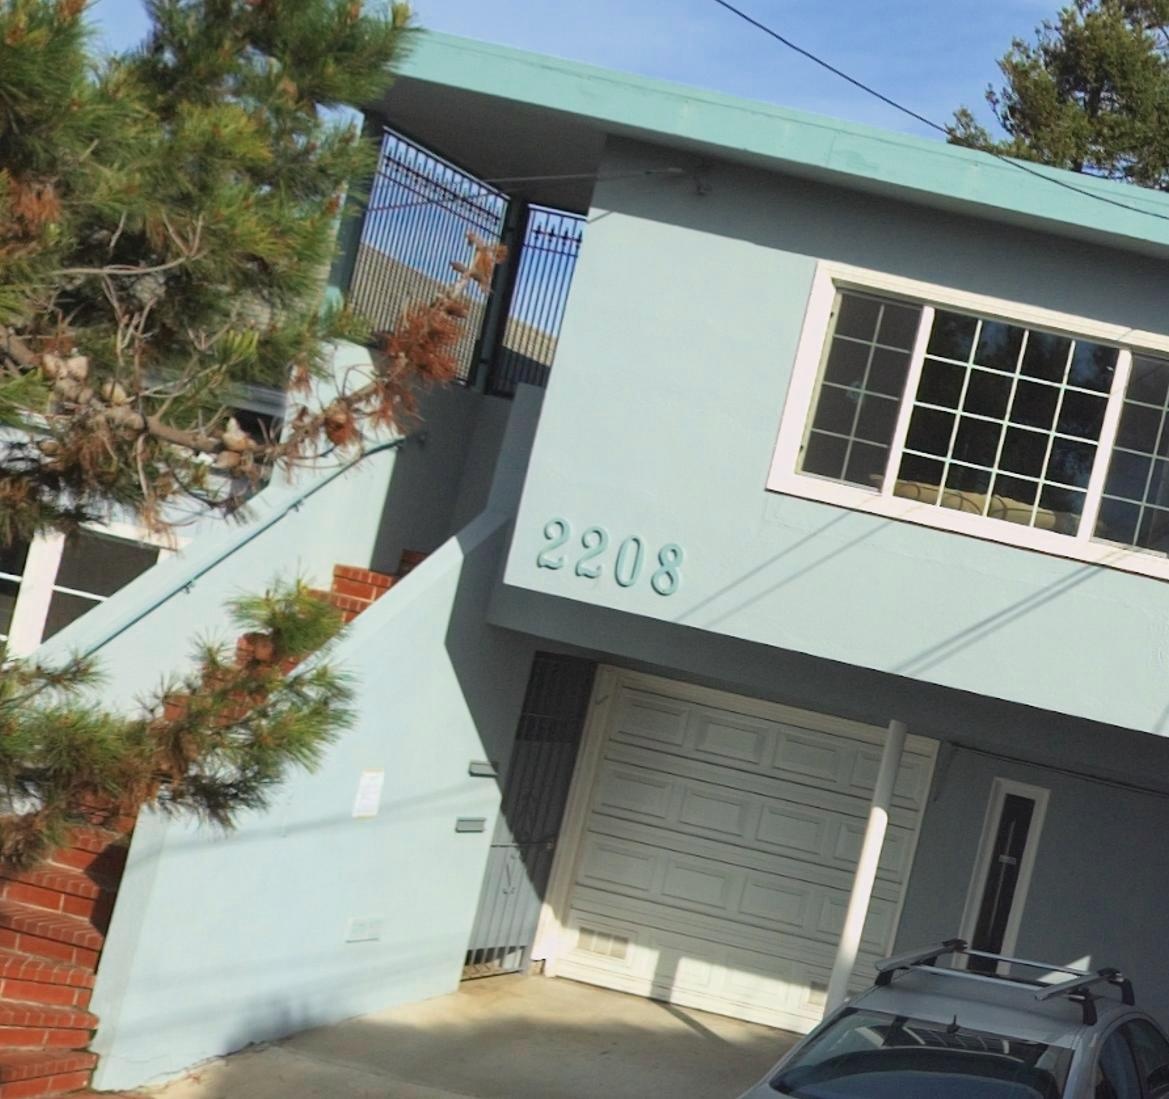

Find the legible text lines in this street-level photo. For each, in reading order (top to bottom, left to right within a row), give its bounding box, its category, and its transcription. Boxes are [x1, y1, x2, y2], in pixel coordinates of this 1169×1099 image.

[533, 513, 688, 600] StreetNumber: 2208